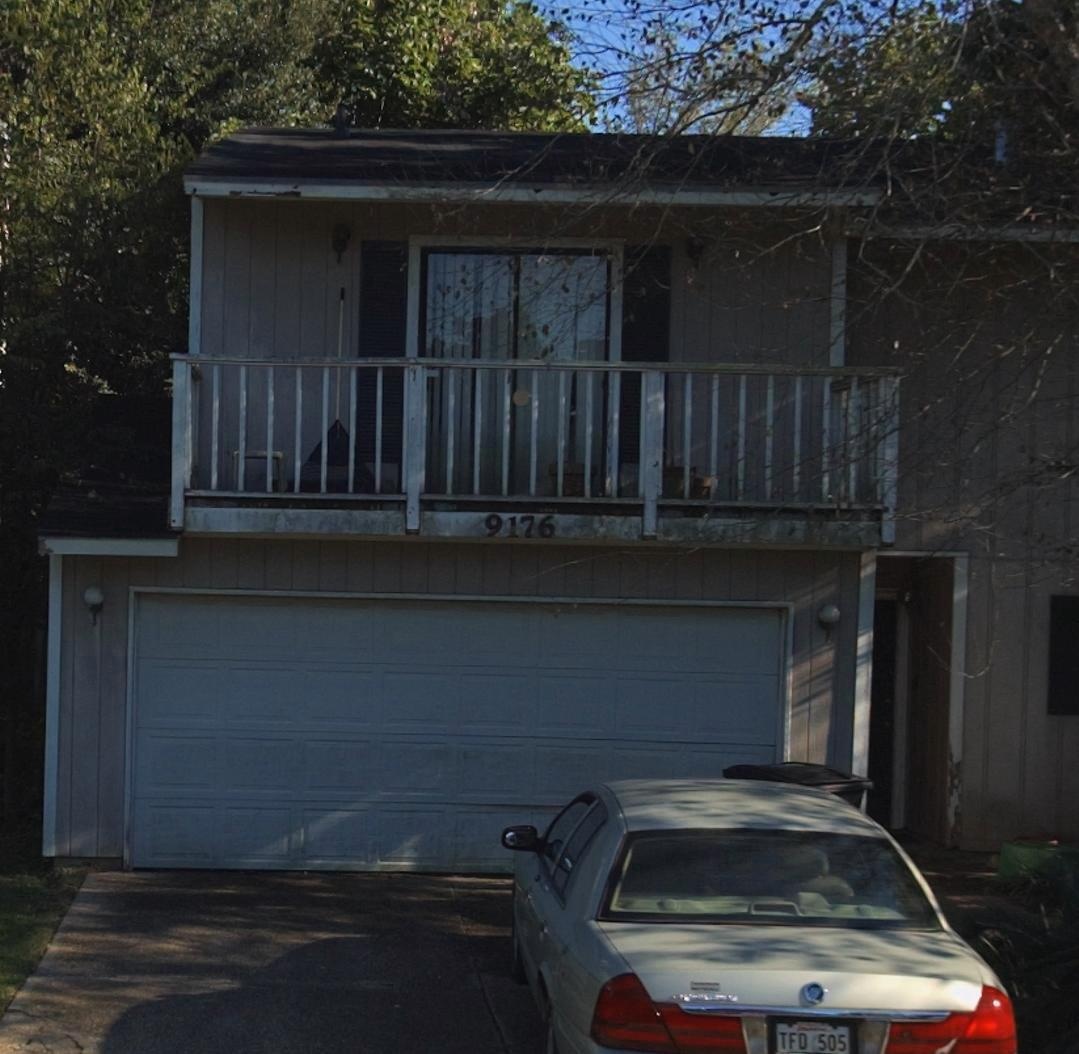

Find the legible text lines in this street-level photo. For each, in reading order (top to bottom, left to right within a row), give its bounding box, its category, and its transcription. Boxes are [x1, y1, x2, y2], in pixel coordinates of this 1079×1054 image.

[484, 512, 558, 538] StreetNumber: 9176
[778, 1031, 848, 1052] None: TFD 505